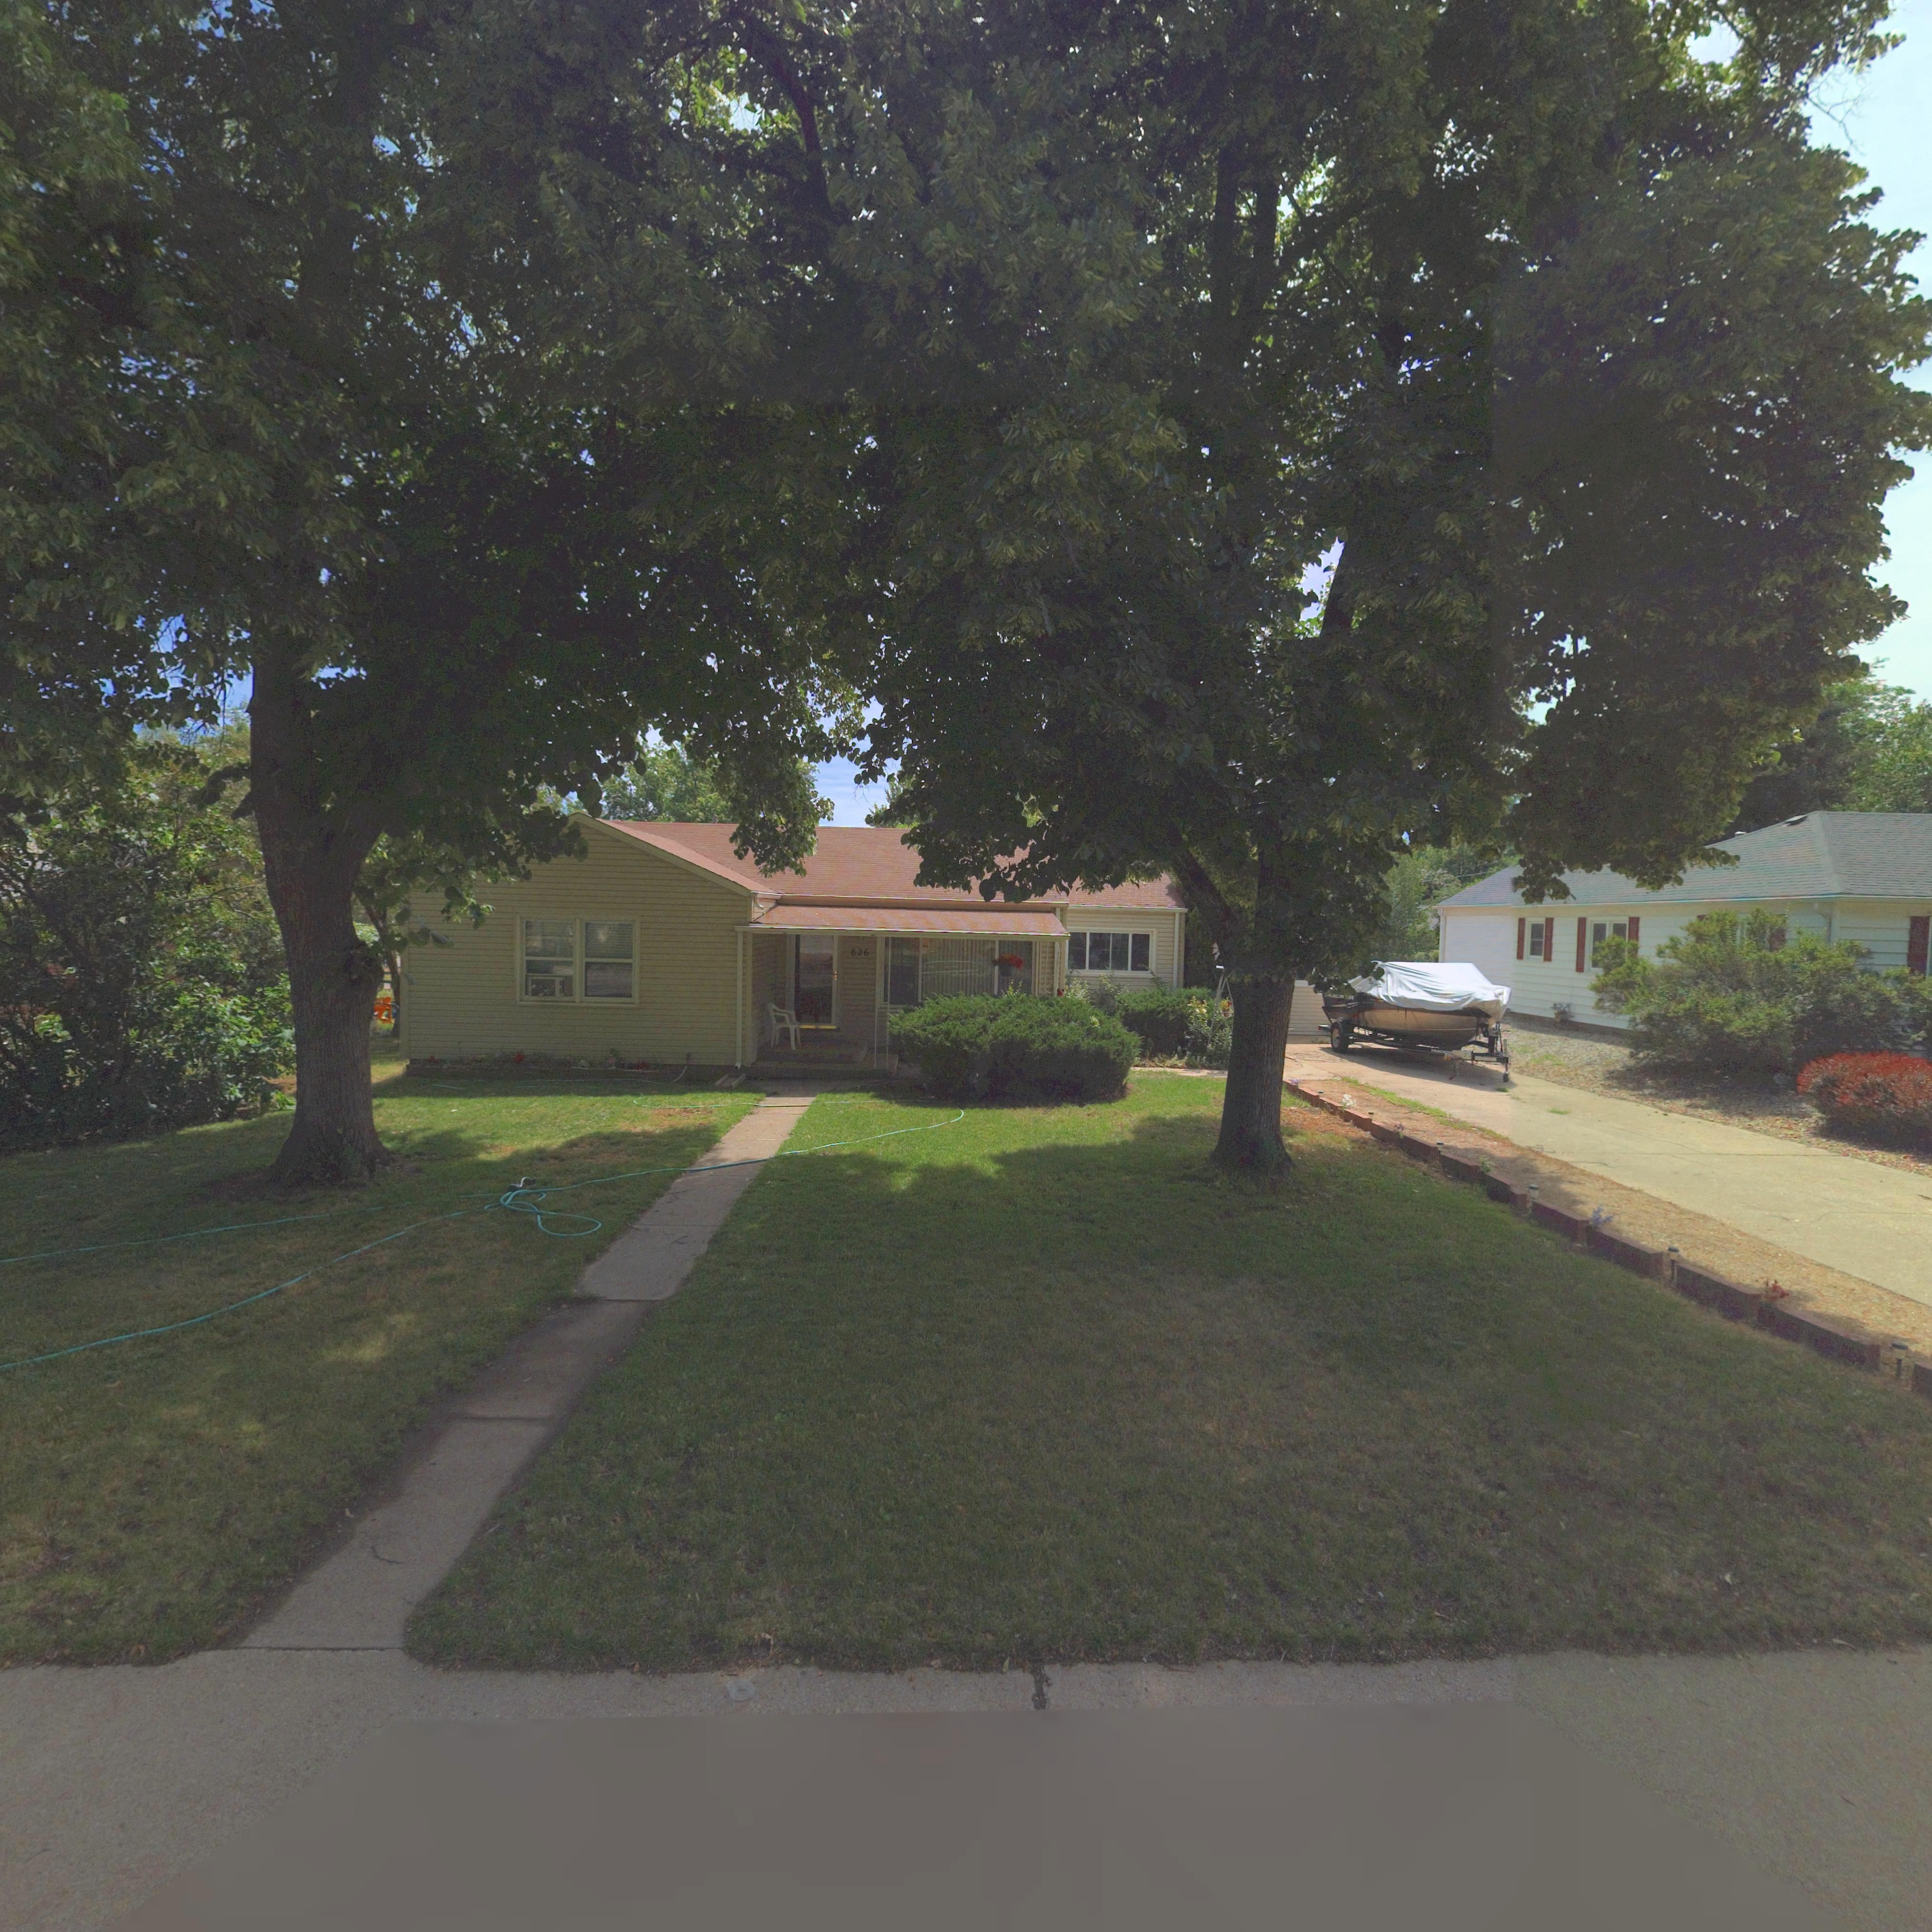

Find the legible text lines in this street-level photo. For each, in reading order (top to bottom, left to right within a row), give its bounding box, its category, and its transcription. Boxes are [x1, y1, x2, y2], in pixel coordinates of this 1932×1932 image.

[850, 948, 869, 956] StreetNumber: 826